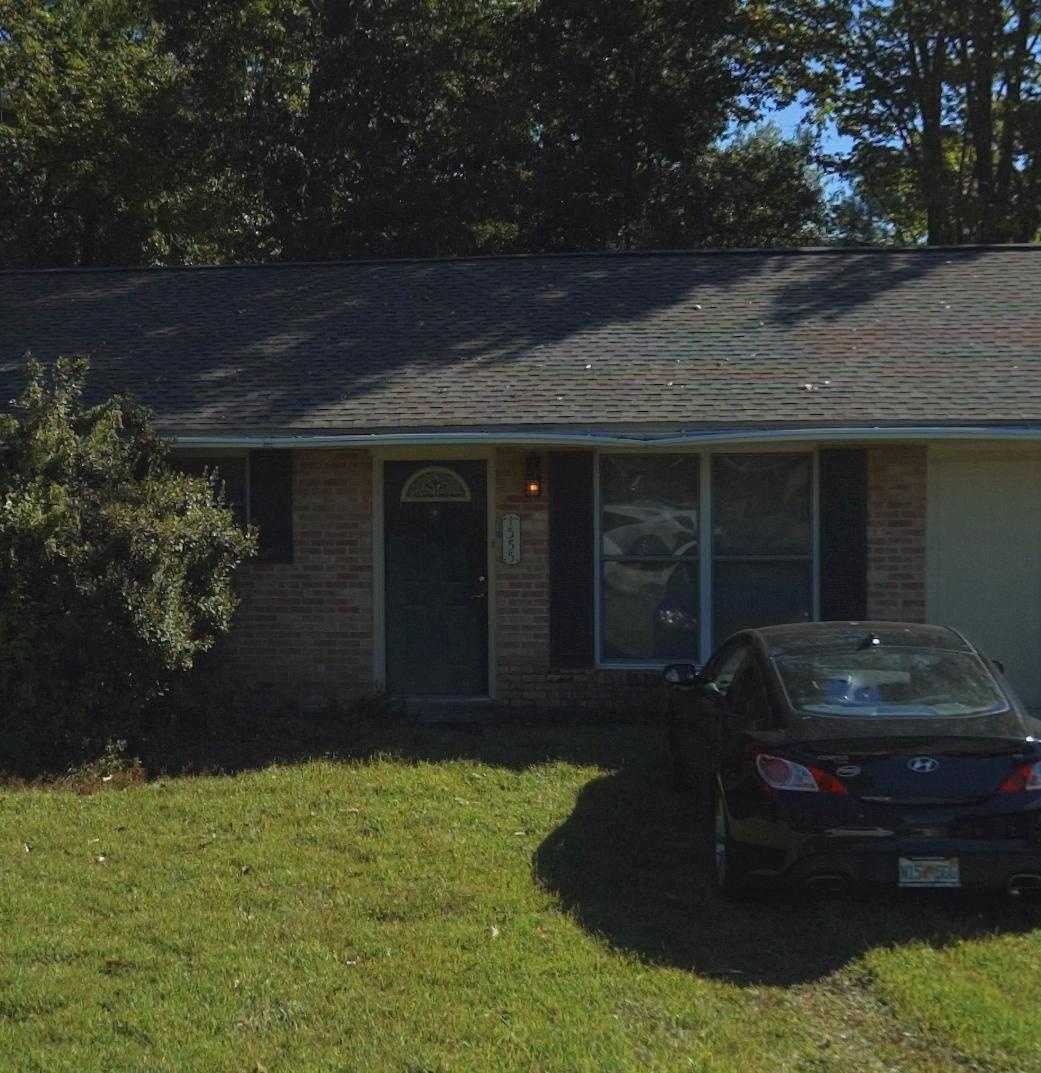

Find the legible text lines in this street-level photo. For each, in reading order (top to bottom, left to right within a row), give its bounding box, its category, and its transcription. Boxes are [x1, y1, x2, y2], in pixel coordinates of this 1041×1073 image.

[506, 513, 517, 564] StreetNumber: 1555
[897, 861, 959, 884] None: N15*566